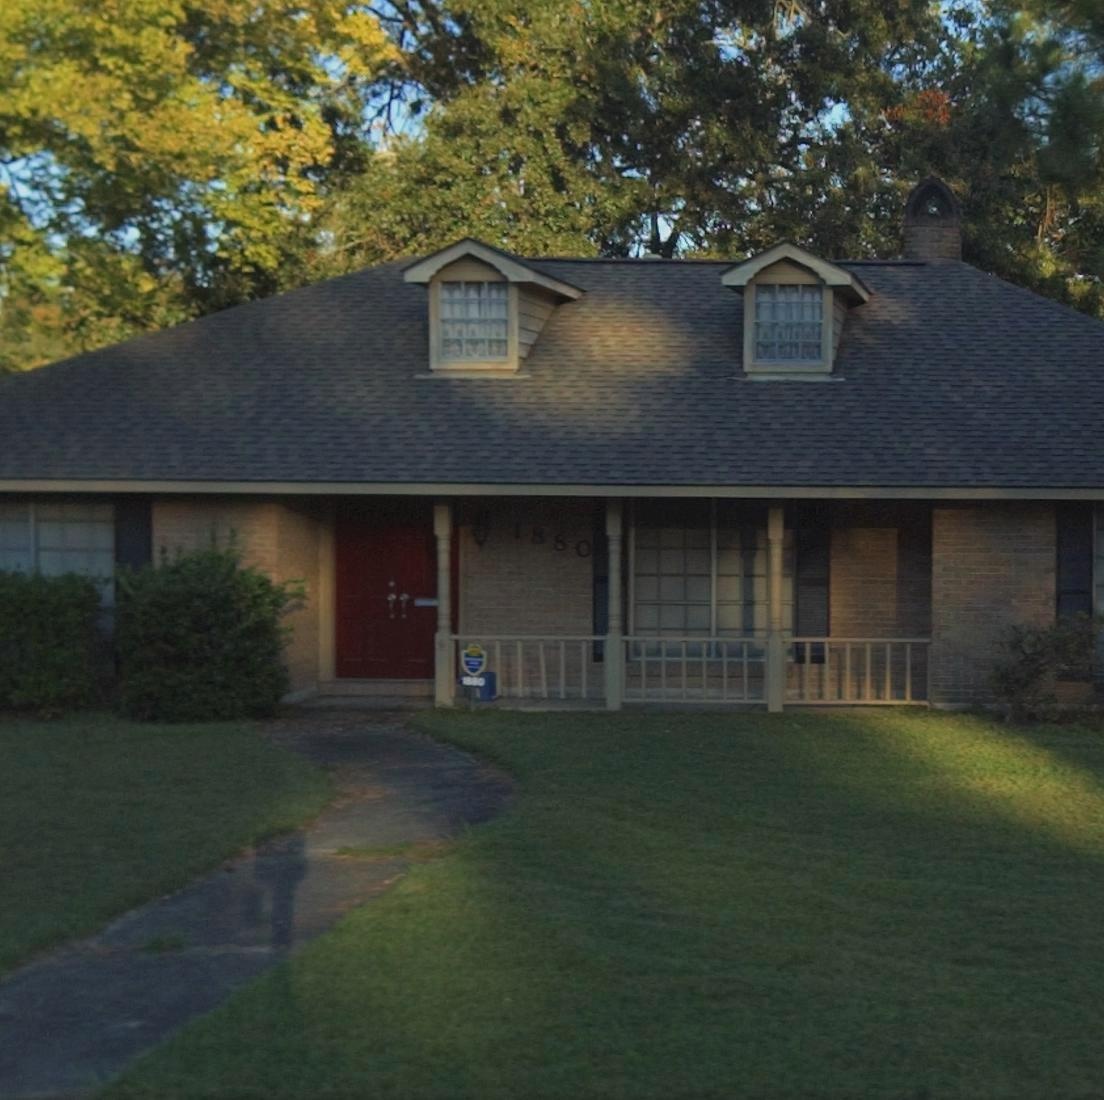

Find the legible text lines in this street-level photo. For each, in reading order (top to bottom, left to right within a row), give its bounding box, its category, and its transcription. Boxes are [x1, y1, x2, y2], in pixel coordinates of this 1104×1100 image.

[513, 519, 592, 561] StreetNumber: 1880
[461, 675, 487, 687] StreetNumber: 1880